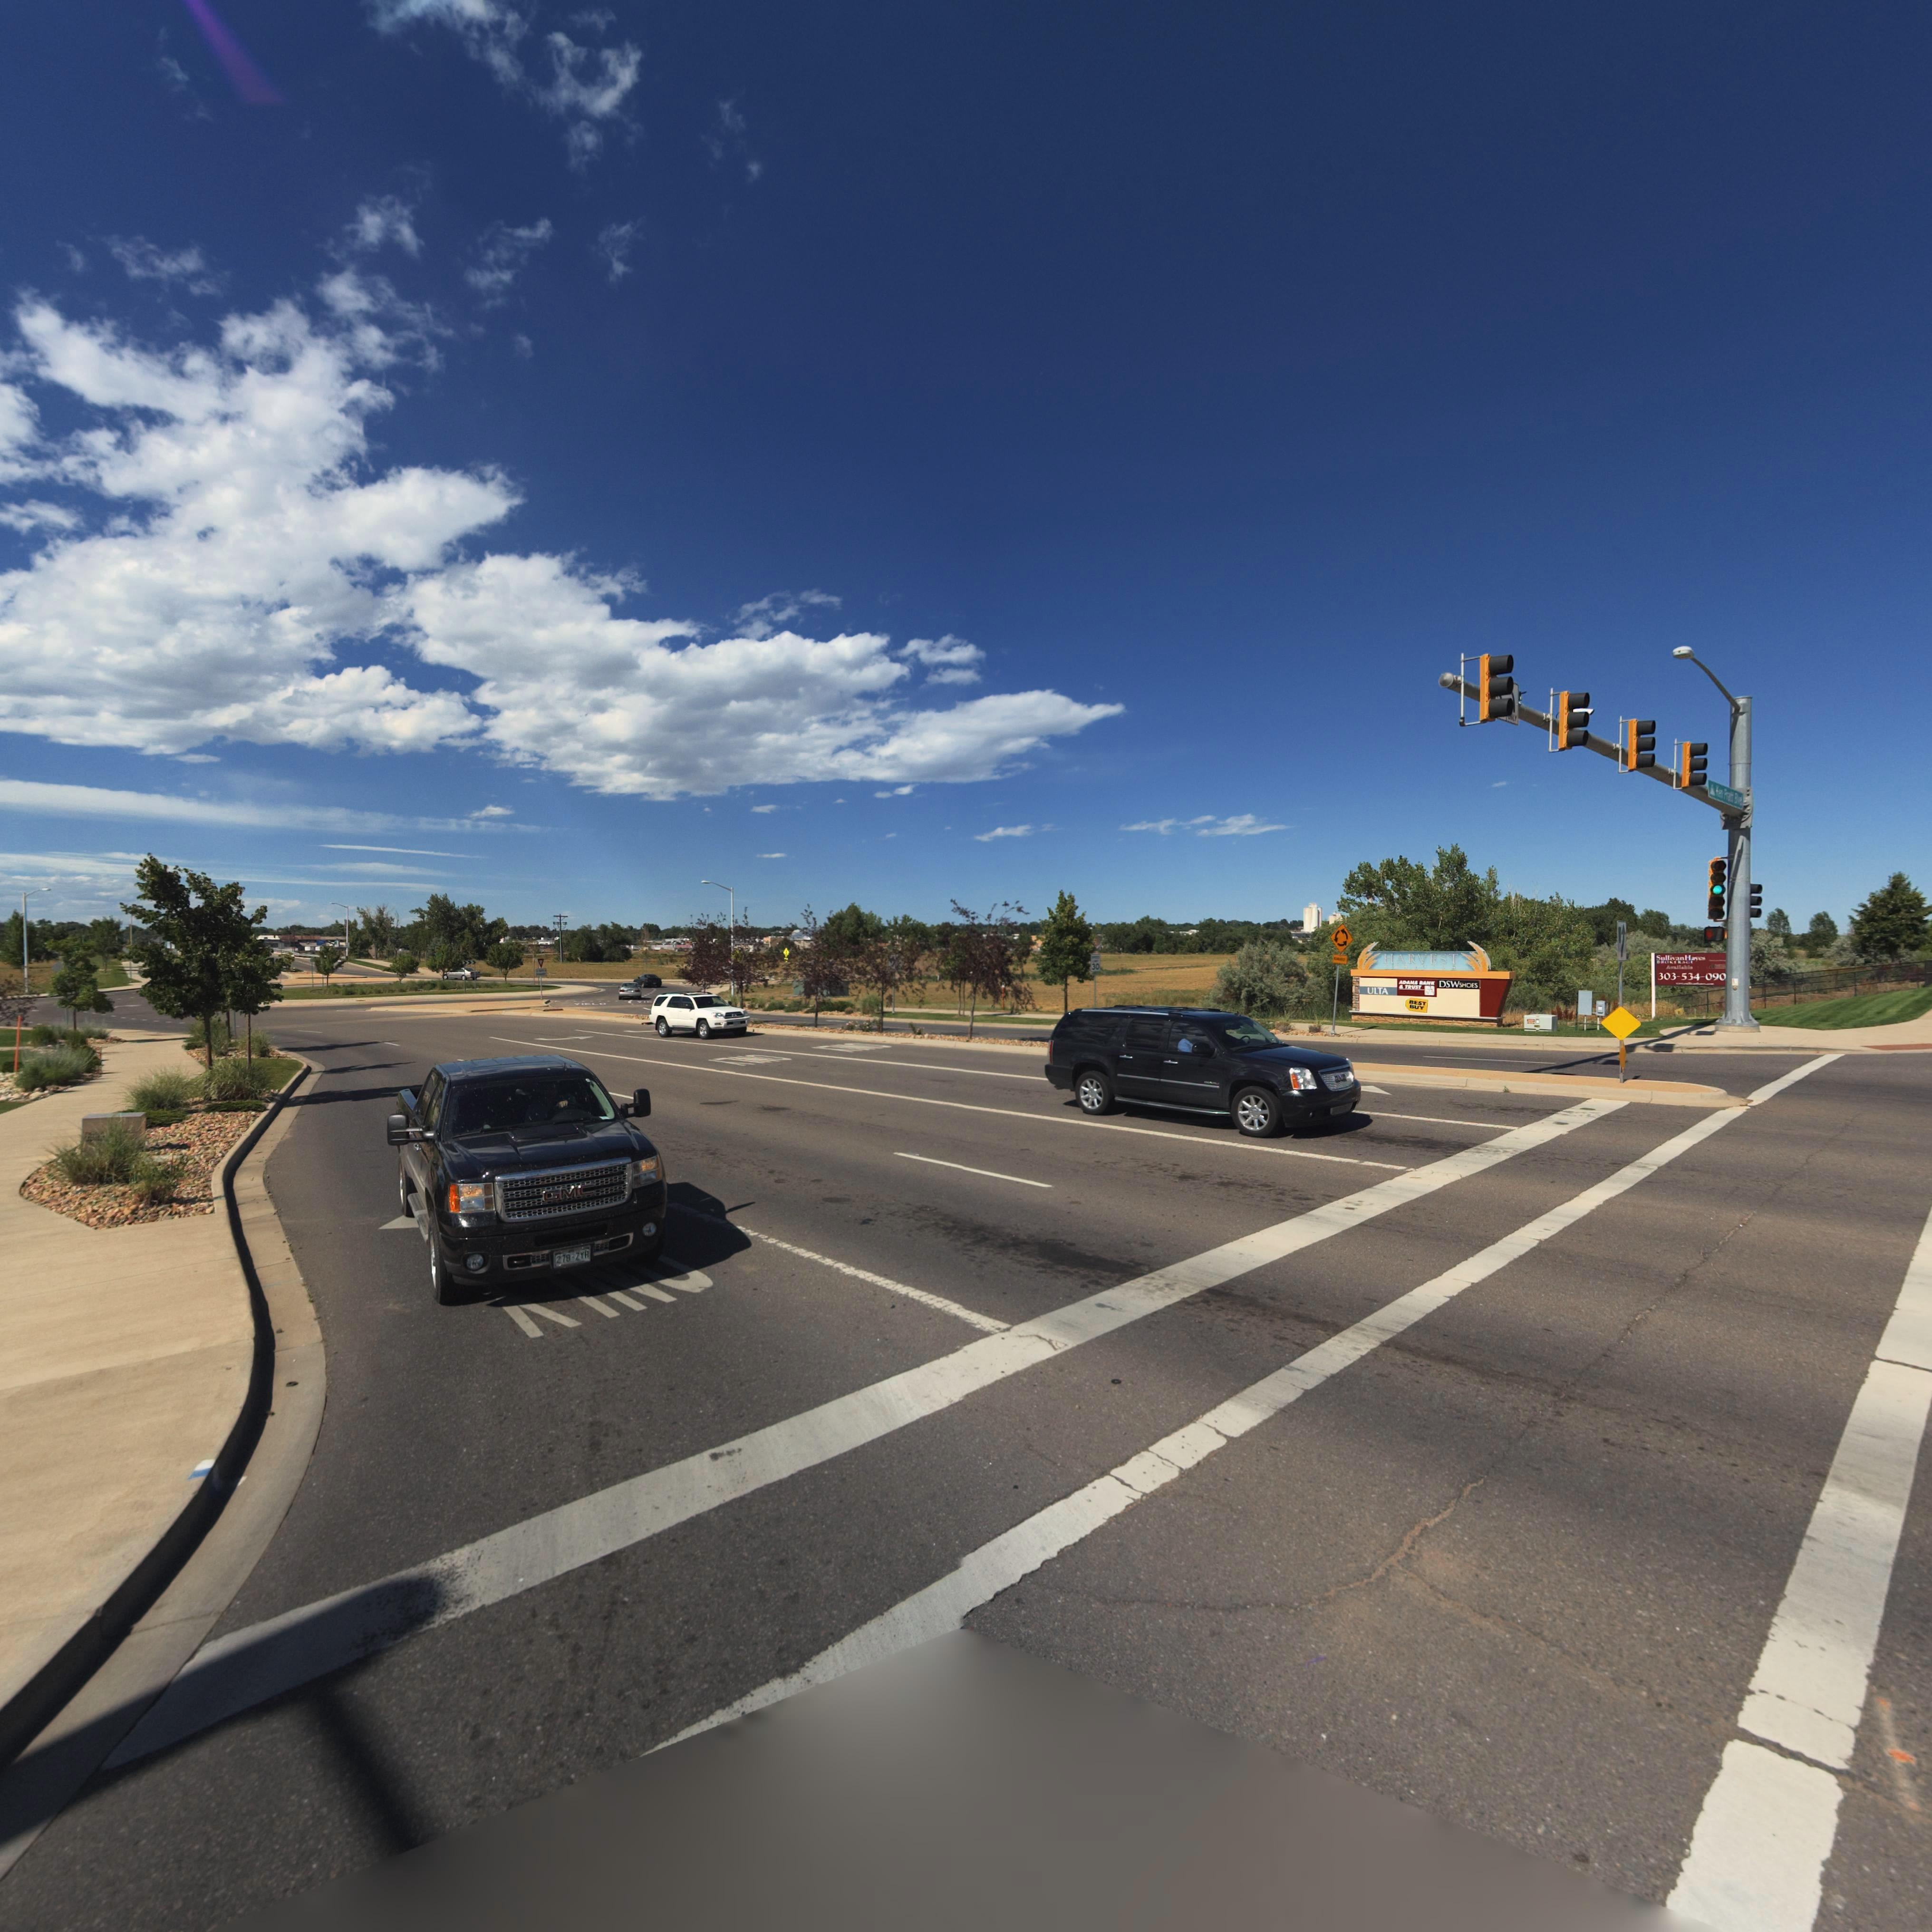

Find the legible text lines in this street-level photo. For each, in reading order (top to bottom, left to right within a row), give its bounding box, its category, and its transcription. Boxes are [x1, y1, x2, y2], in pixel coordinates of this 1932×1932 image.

[1714, 783, 1742, 807] StreetName: Ken Pratt Blvd
[1398, 984, 1422, 989] BusinessName: & TRUST
[1398, 980, 1435, 985] BusinessName: ADAMS BANK
[1439, 980, 1478, 988] BusinessName: DSWSHOES
[1366, 987, 1389, 995] BusinessName: ULTA
[1408, 999, 1427, 1005] BusinessName: BEST
[1408, 1004, 1424, 1010] BusinessName: BUY